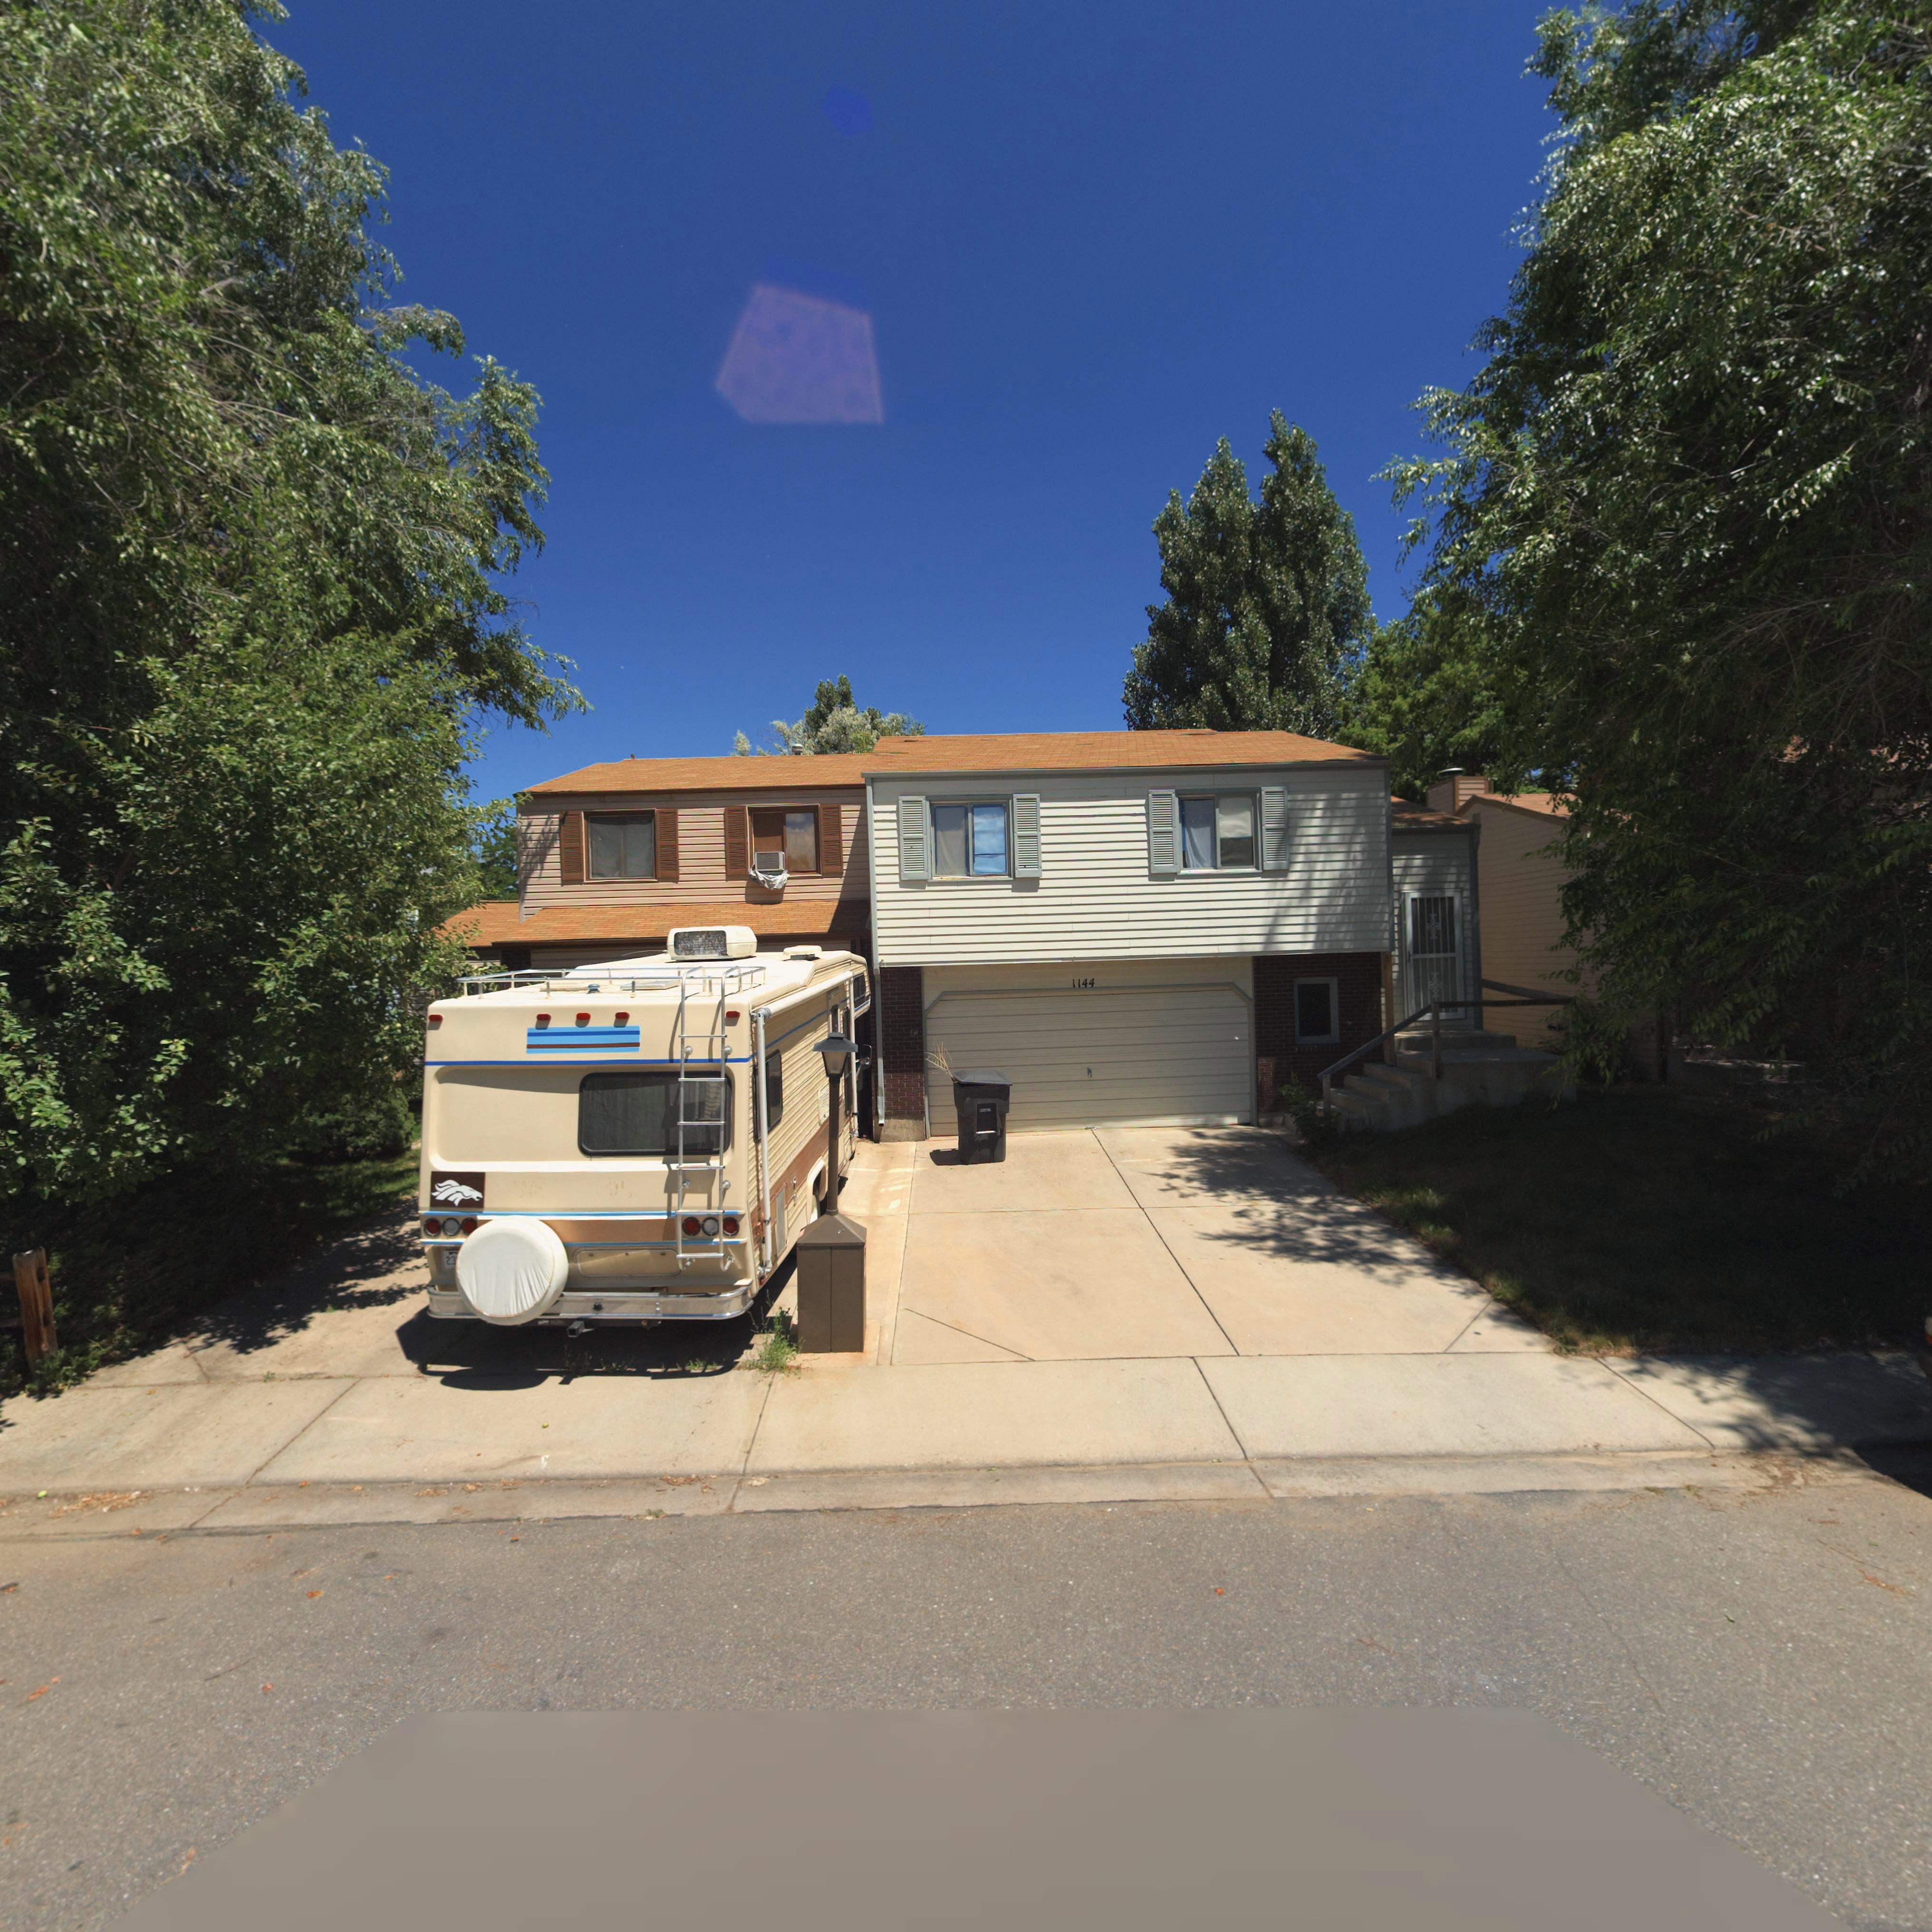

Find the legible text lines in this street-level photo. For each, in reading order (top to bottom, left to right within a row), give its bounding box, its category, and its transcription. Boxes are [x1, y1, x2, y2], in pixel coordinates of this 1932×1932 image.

[1072, 977, 1095, 989] StreetNumber: 1144